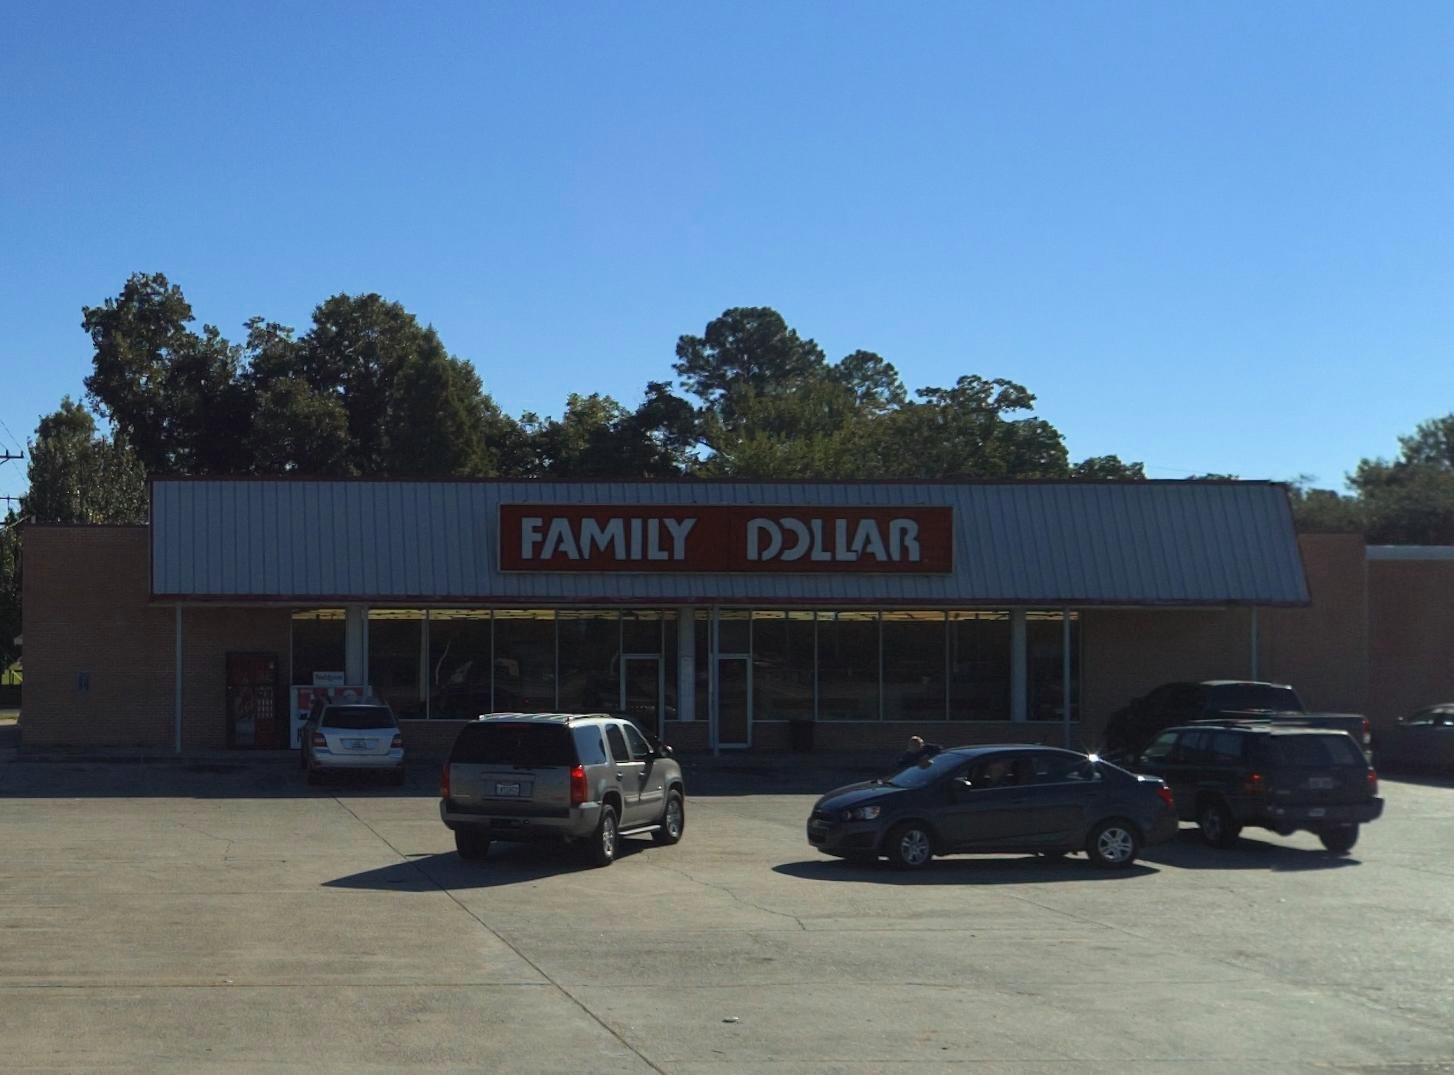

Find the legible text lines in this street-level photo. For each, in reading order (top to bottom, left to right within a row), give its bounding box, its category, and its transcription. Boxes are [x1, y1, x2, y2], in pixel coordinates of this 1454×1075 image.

[520, 516, 922, 562] BusinessName: FAMILY DOLLAR